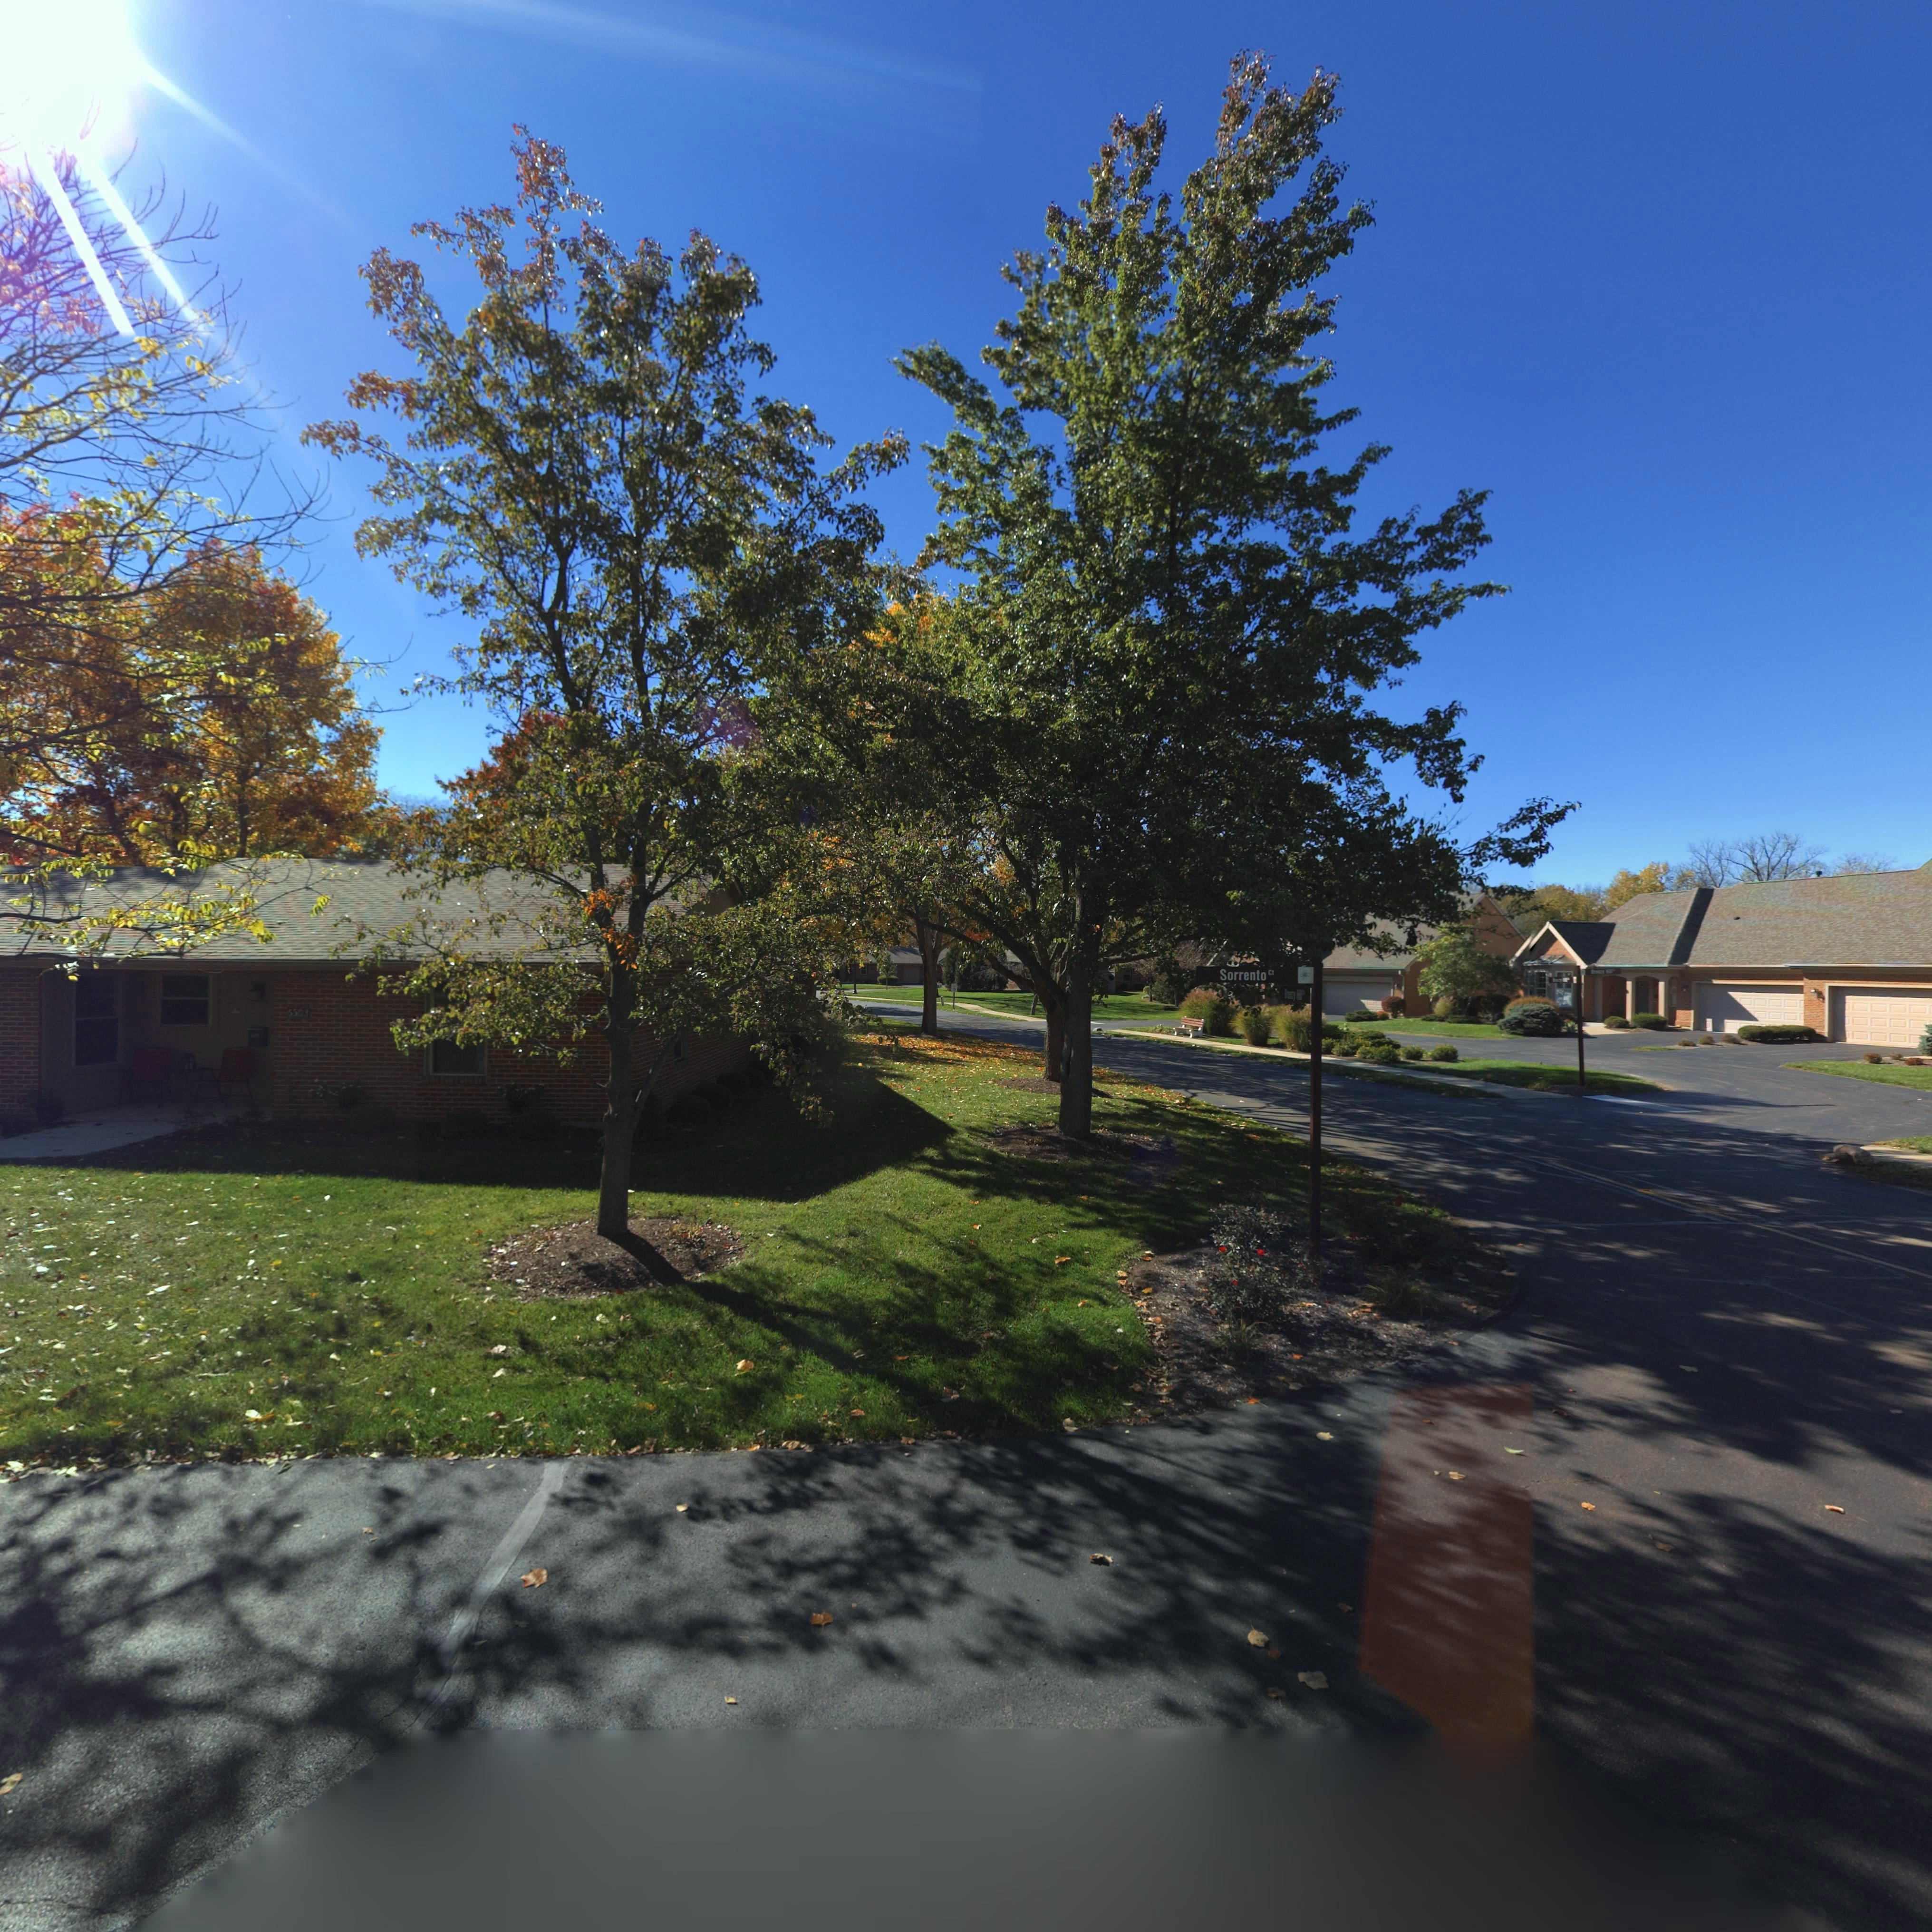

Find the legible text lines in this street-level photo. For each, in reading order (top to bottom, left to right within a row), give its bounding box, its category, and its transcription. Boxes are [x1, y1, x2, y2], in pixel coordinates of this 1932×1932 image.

[1219, 968, 1275, 982] StreetName: Sorrento Ct
[1284, 988, 1306, 1002] StreetName: Breezy Hill Dr
[287, 1007, 310, 1019] StreetNumber: *50*